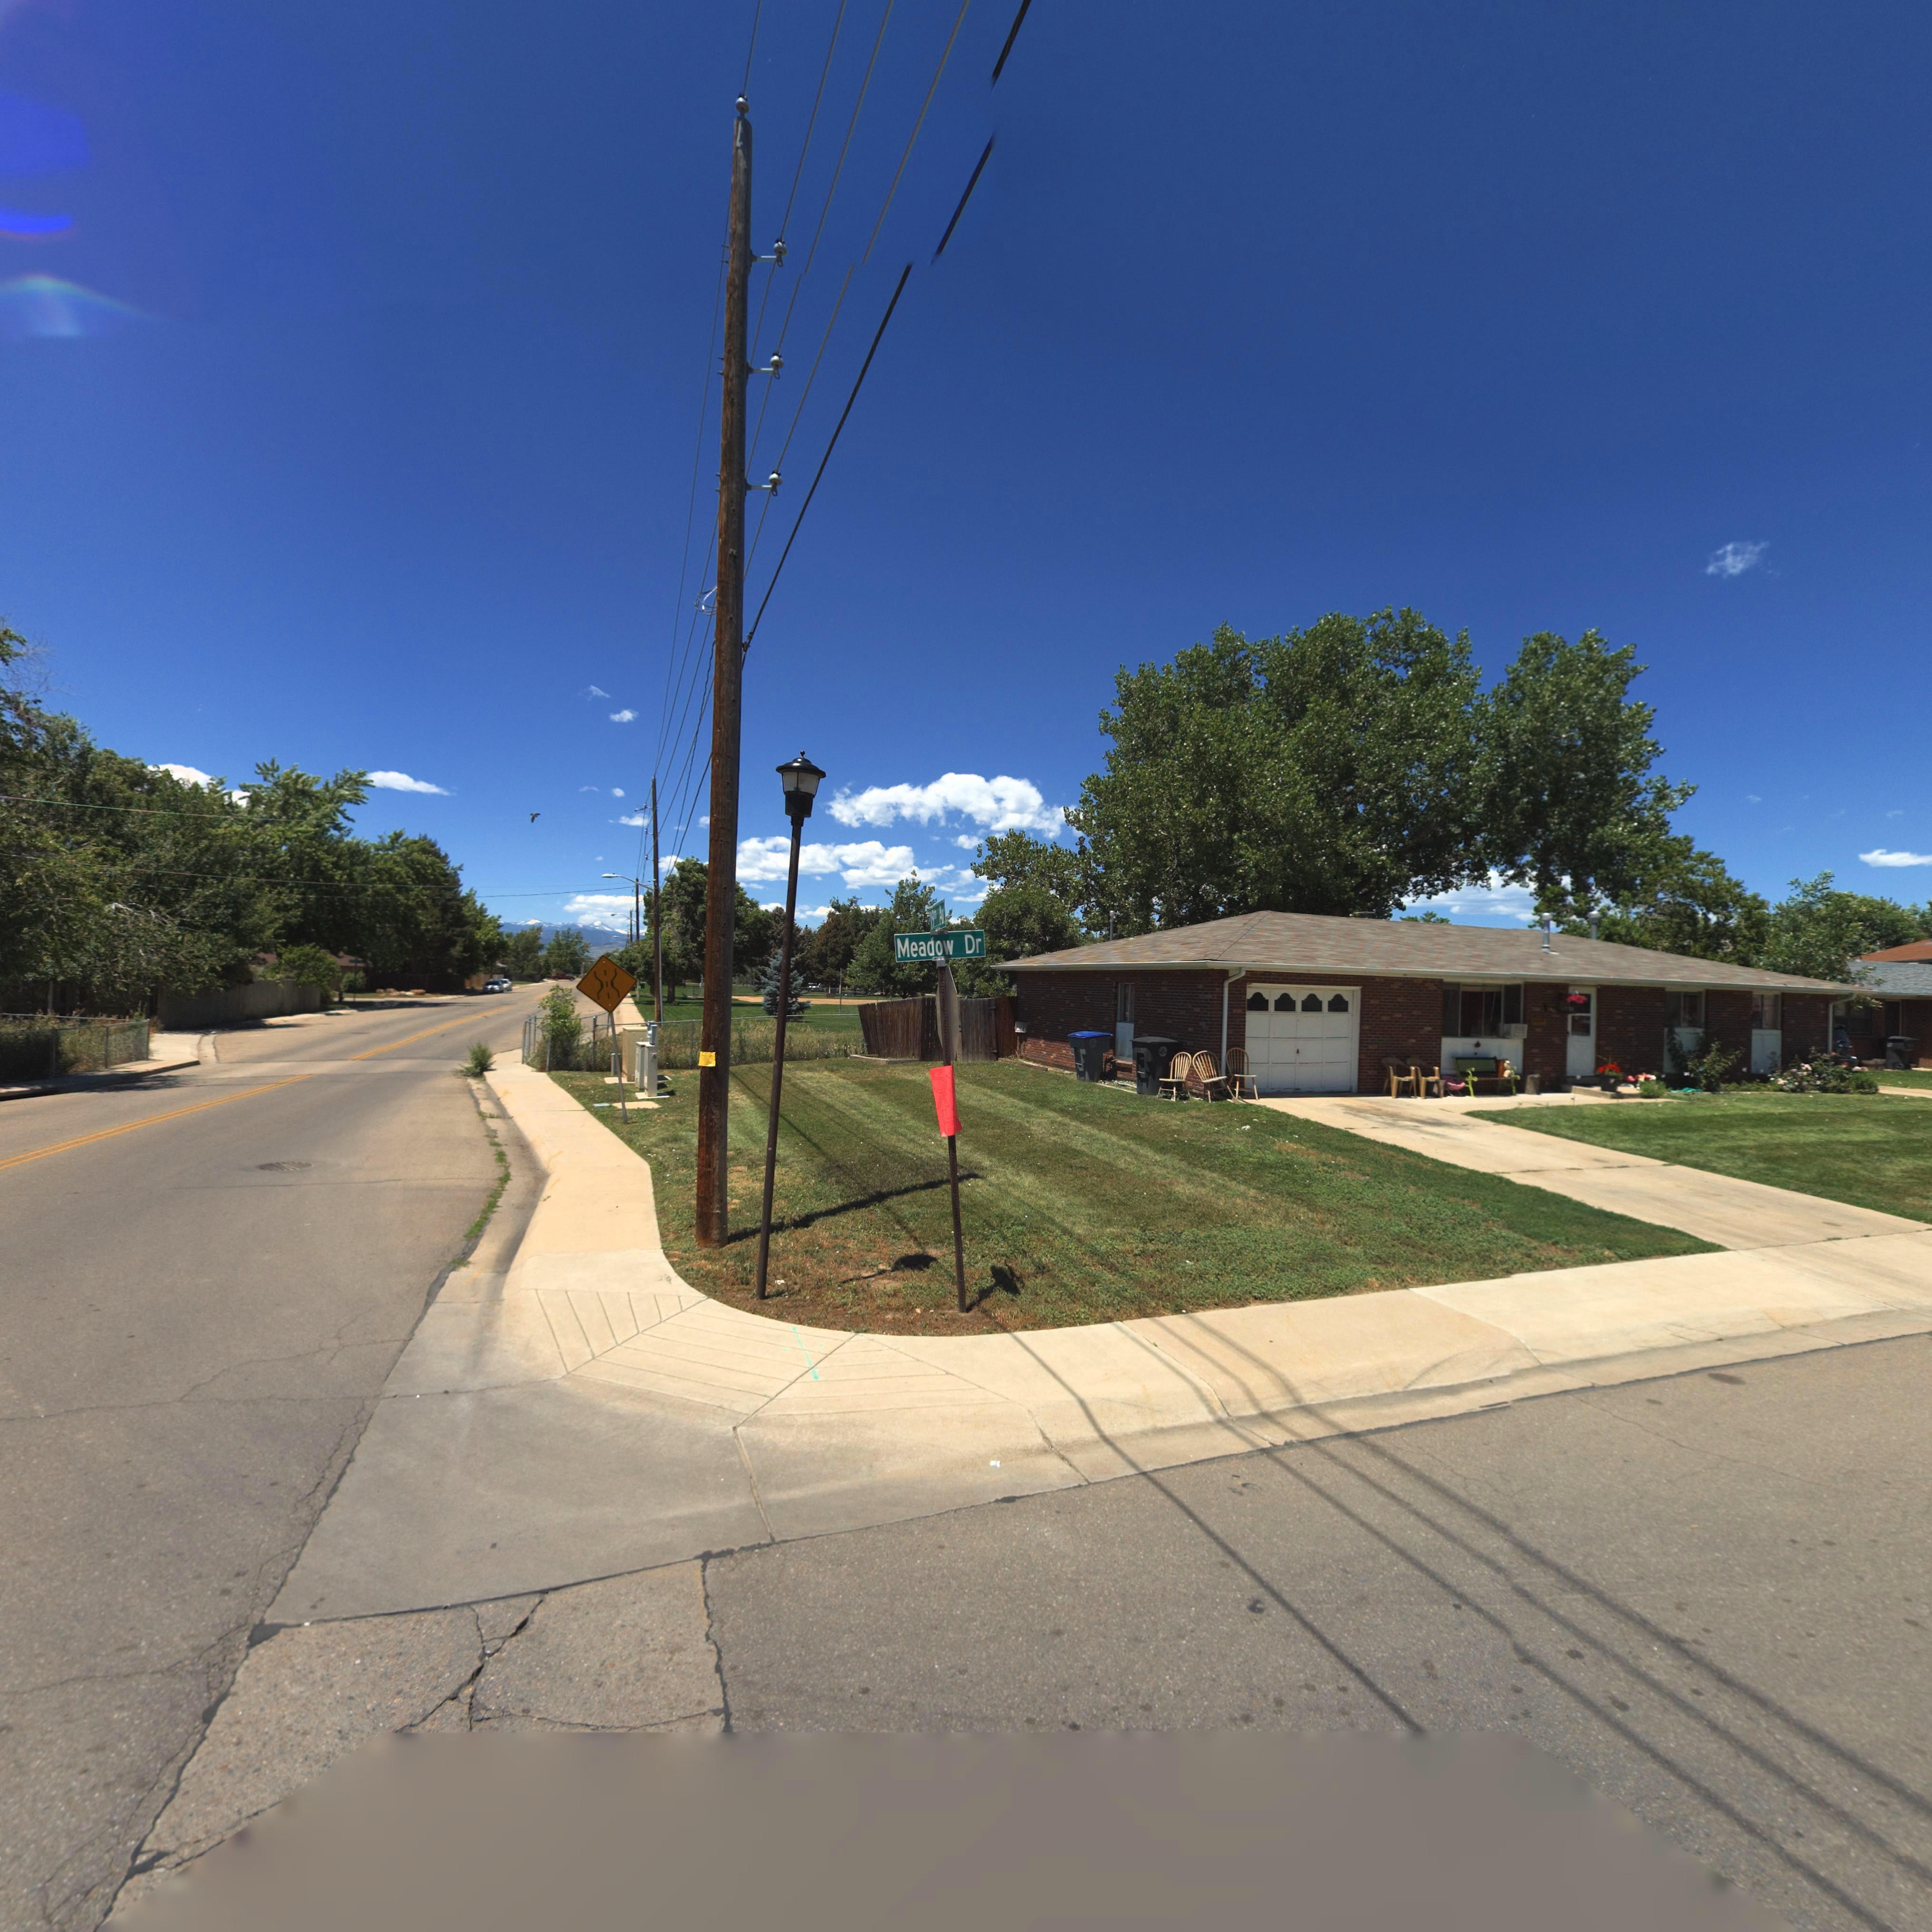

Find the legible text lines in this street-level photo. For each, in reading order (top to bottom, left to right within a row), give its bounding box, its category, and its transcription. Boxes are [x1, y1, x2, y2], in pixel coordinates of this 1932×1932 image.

[930, 904, 945, 929] StreetName: 19th Av
[896, 934, 982, 958] StreetName: Meadow Dr